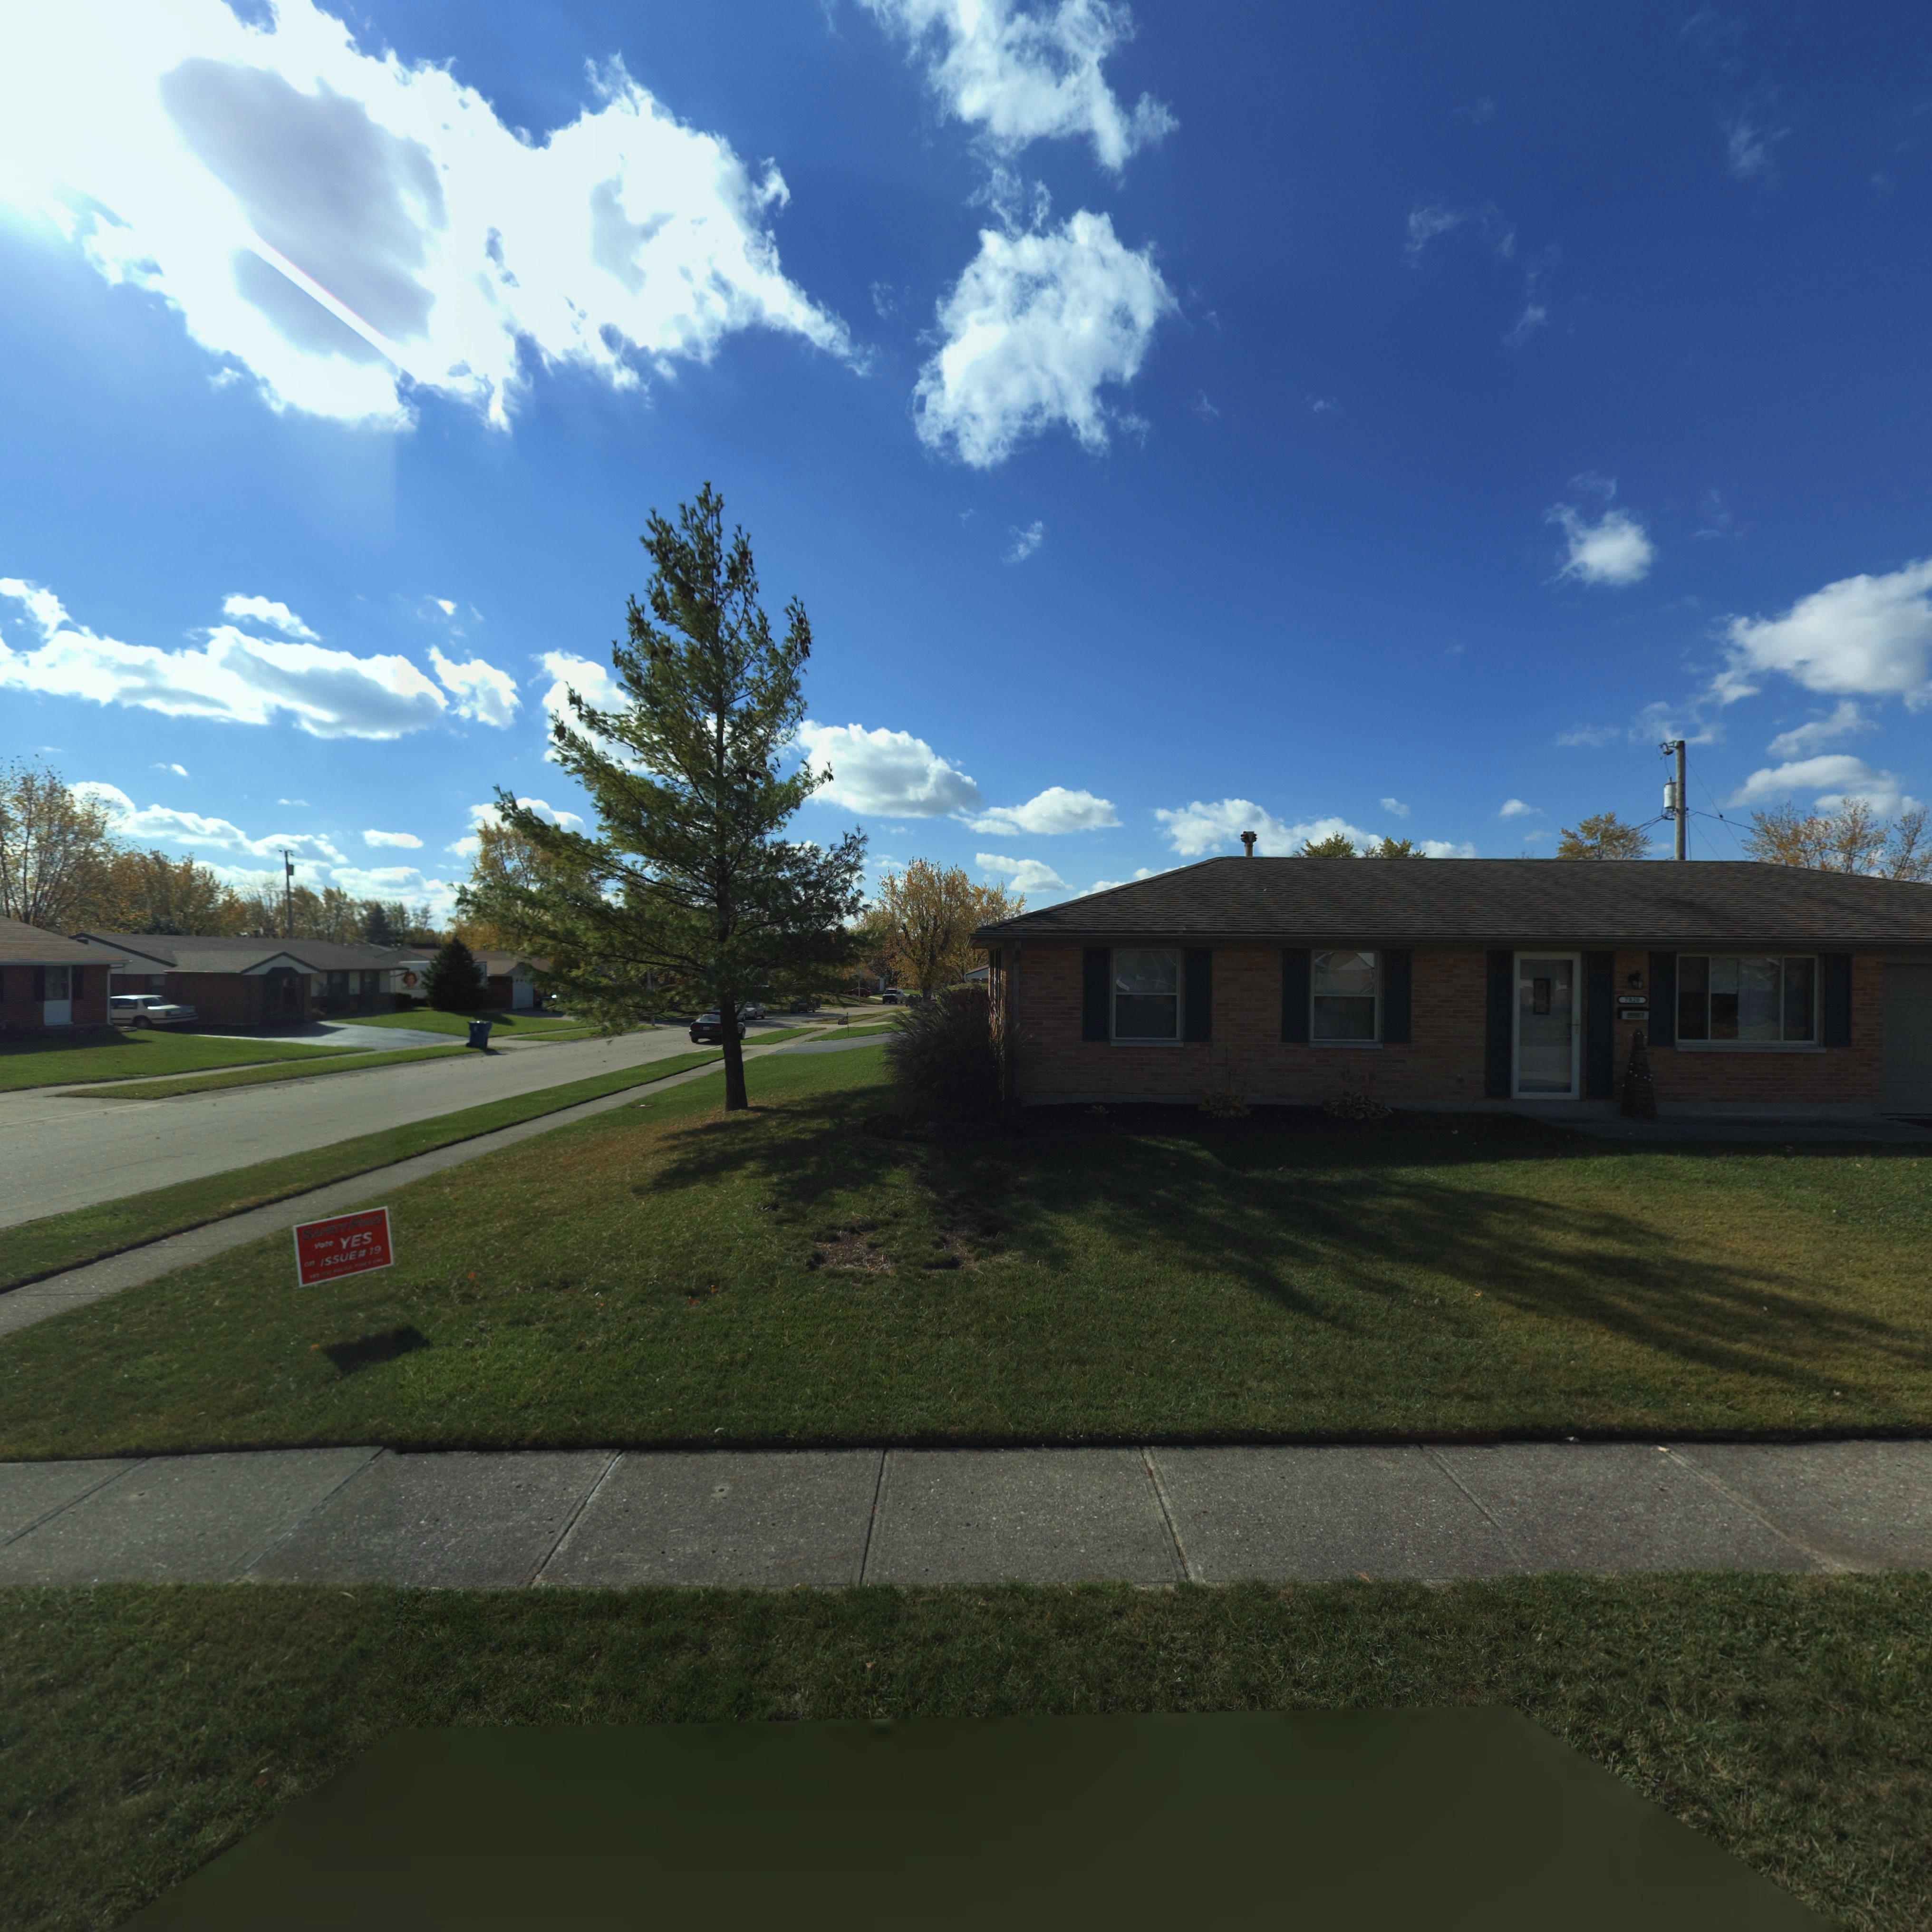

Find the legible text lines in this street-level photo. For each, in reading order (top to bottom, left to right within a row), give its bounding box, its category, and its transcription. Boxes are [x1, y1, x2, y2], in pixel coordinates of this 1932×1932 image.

[1624, 997, 1640, 1002] StreetNumber: 7820